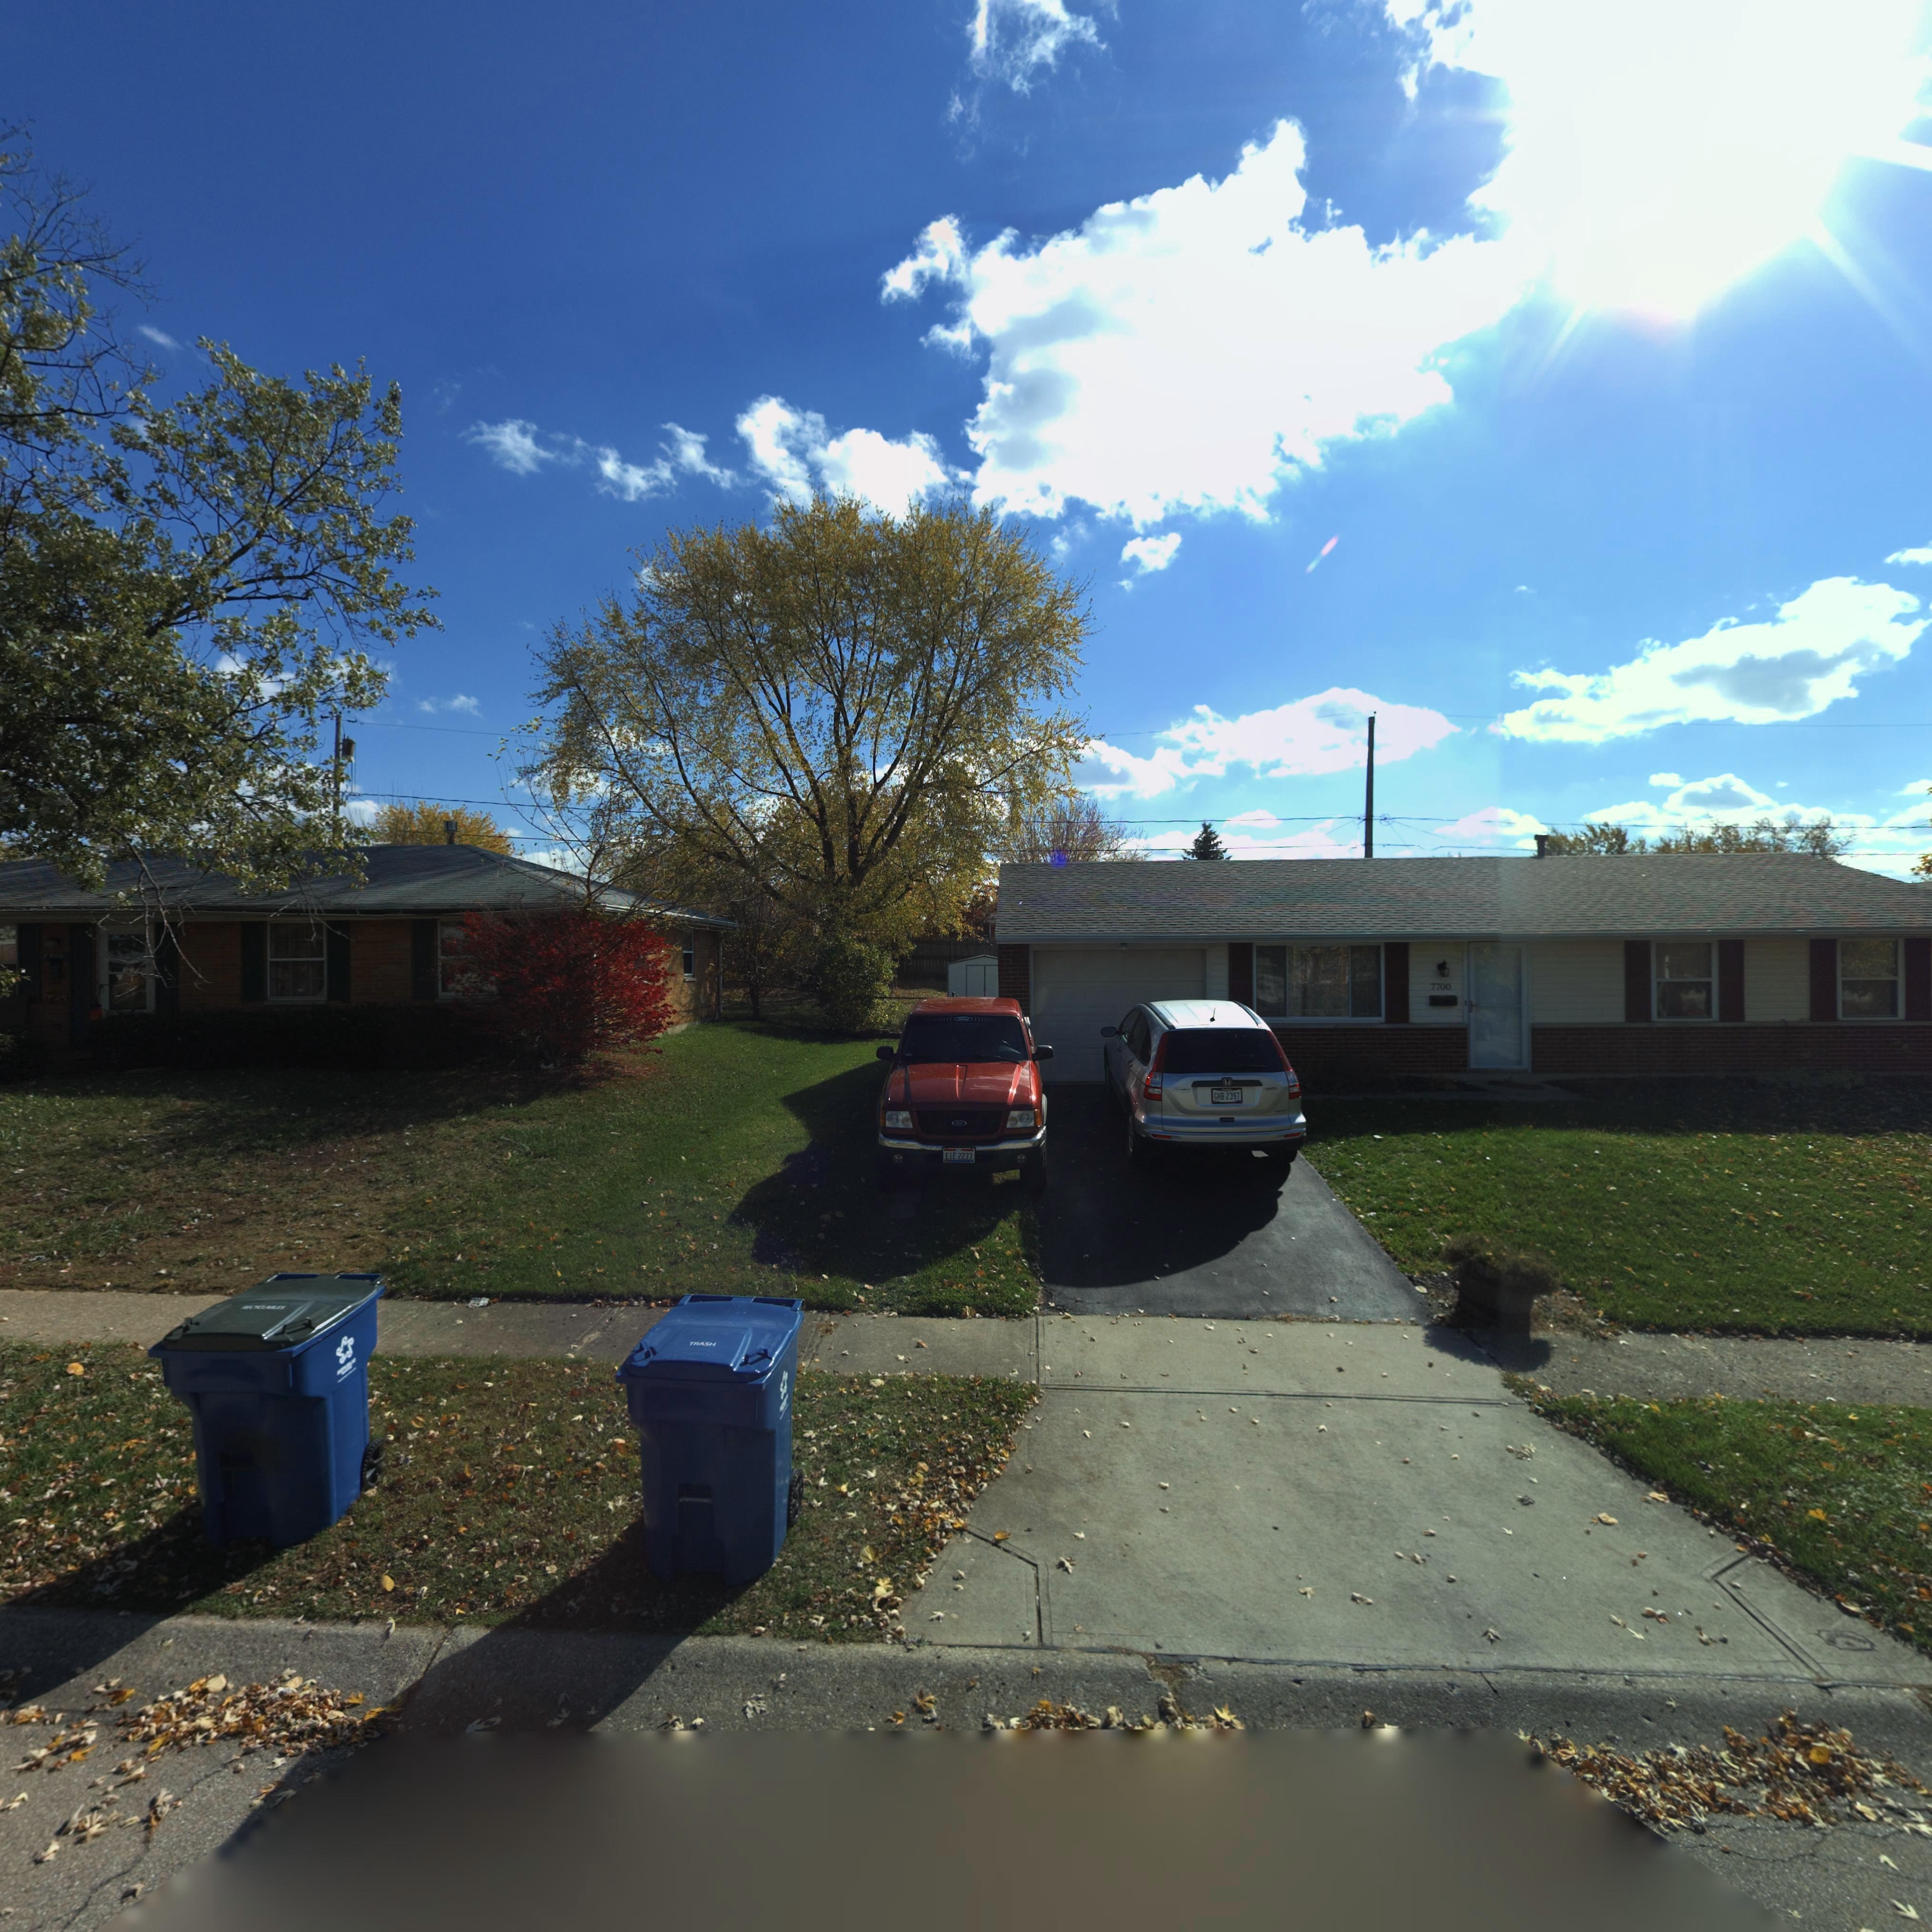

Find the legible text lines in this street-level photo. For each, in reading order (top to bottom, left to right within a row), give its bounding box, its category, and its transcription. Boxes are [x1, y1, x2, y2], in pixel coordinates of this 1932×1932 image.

[1430, 982, 1451, 991] StreetNumber: 7700